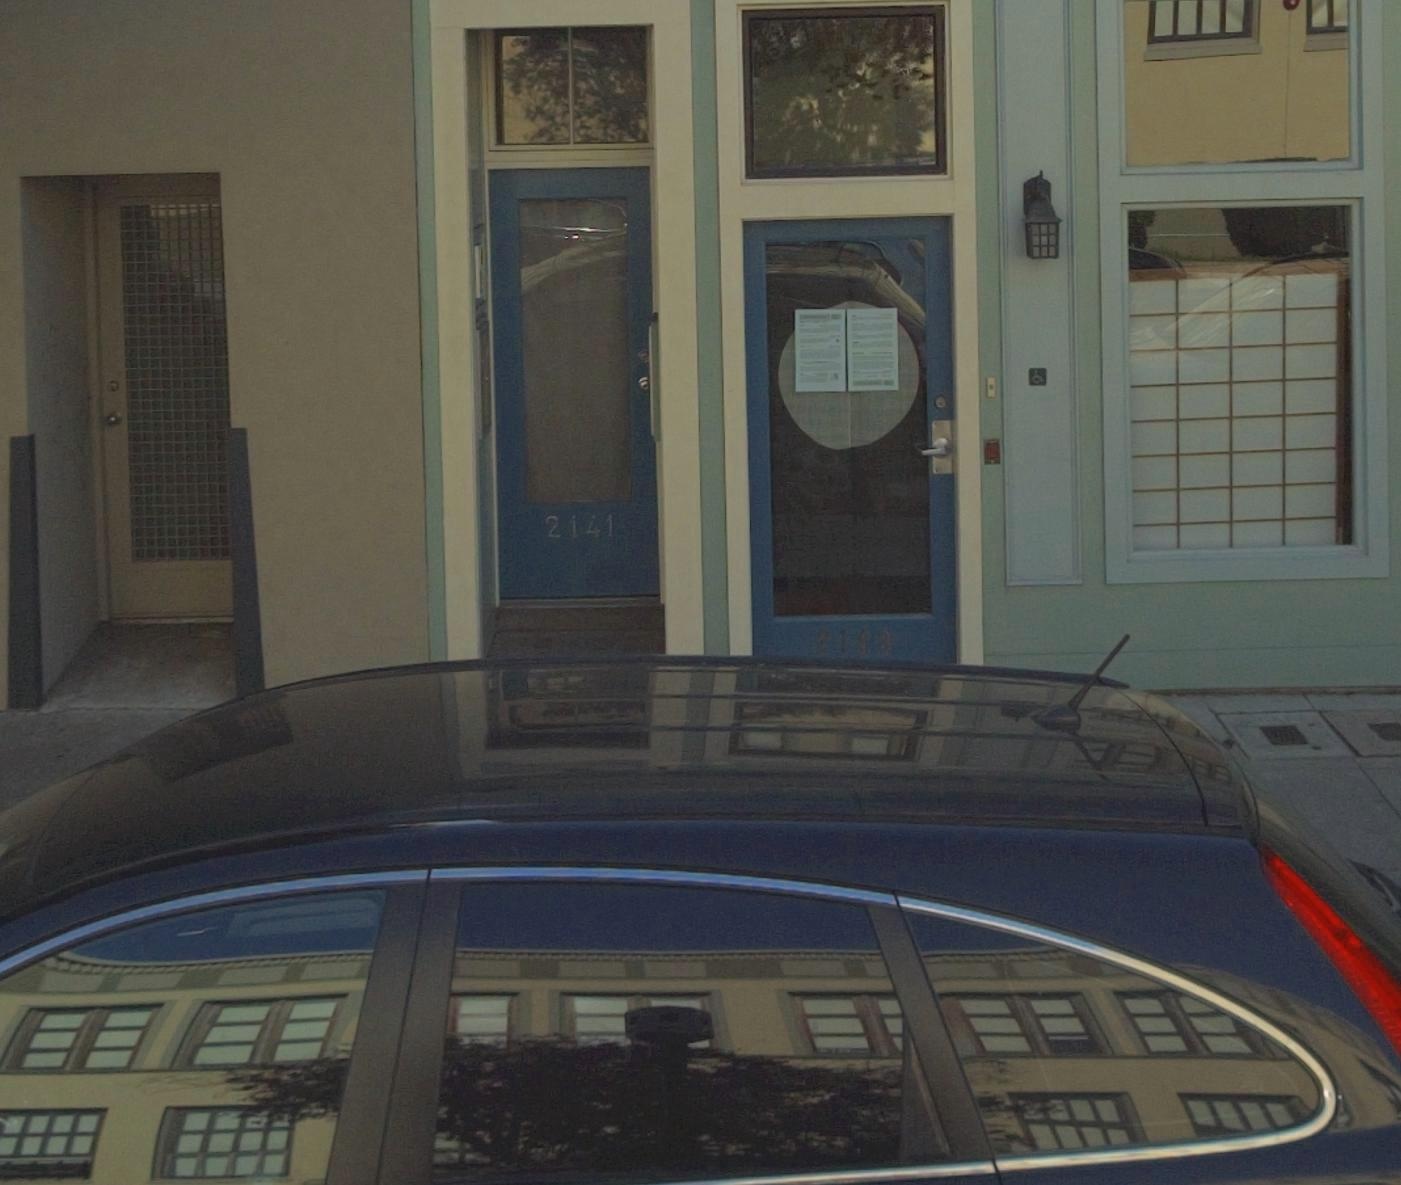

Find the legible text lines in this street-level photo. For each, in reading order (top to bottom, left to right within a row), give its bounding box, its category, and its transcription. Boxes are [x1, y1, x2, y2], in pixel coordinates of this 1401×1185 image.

[542, 511, 617, 542] StreetNumber: 2141
[810, 624, 895, 659] StreetNumber: 2143